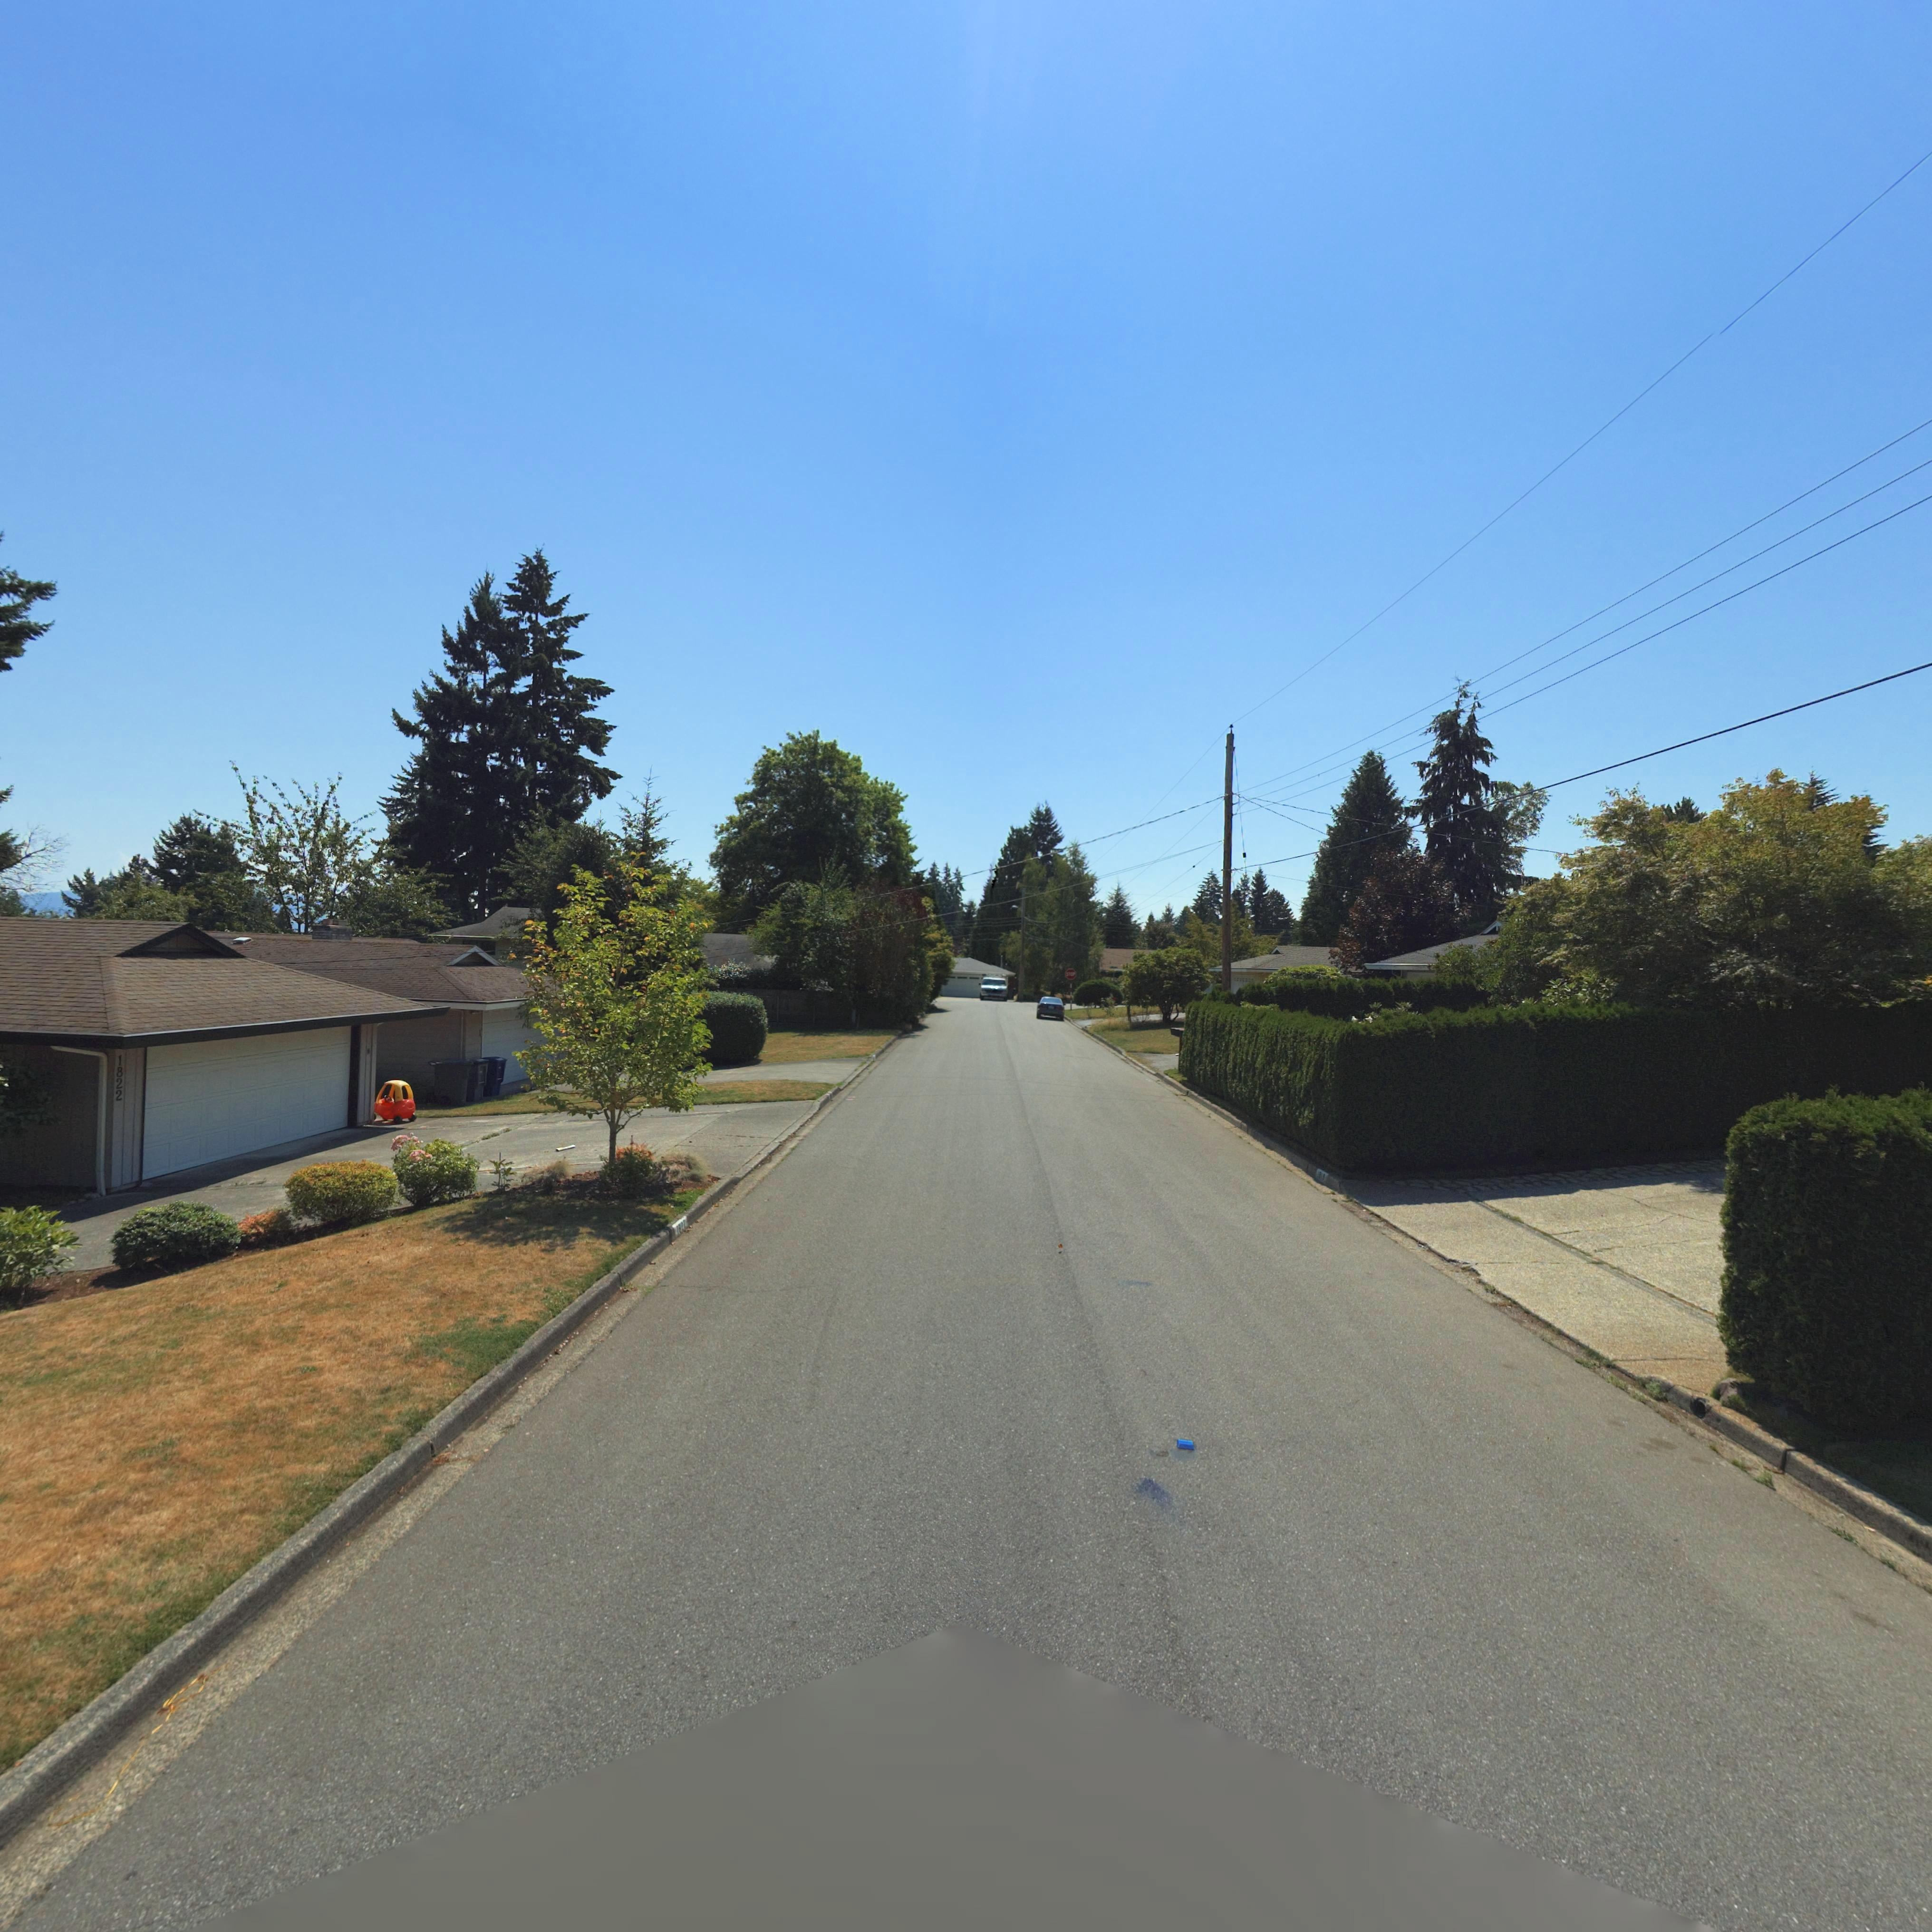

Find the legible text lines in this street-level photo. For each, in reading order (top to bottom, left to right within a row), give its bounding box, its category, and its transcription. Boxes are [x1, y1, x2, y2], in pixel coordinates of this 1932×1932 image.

[115, 1055, 123, 1101] StreetNumber: 1822
[676, 1218, 686, 1236] StreetNumber: 1822